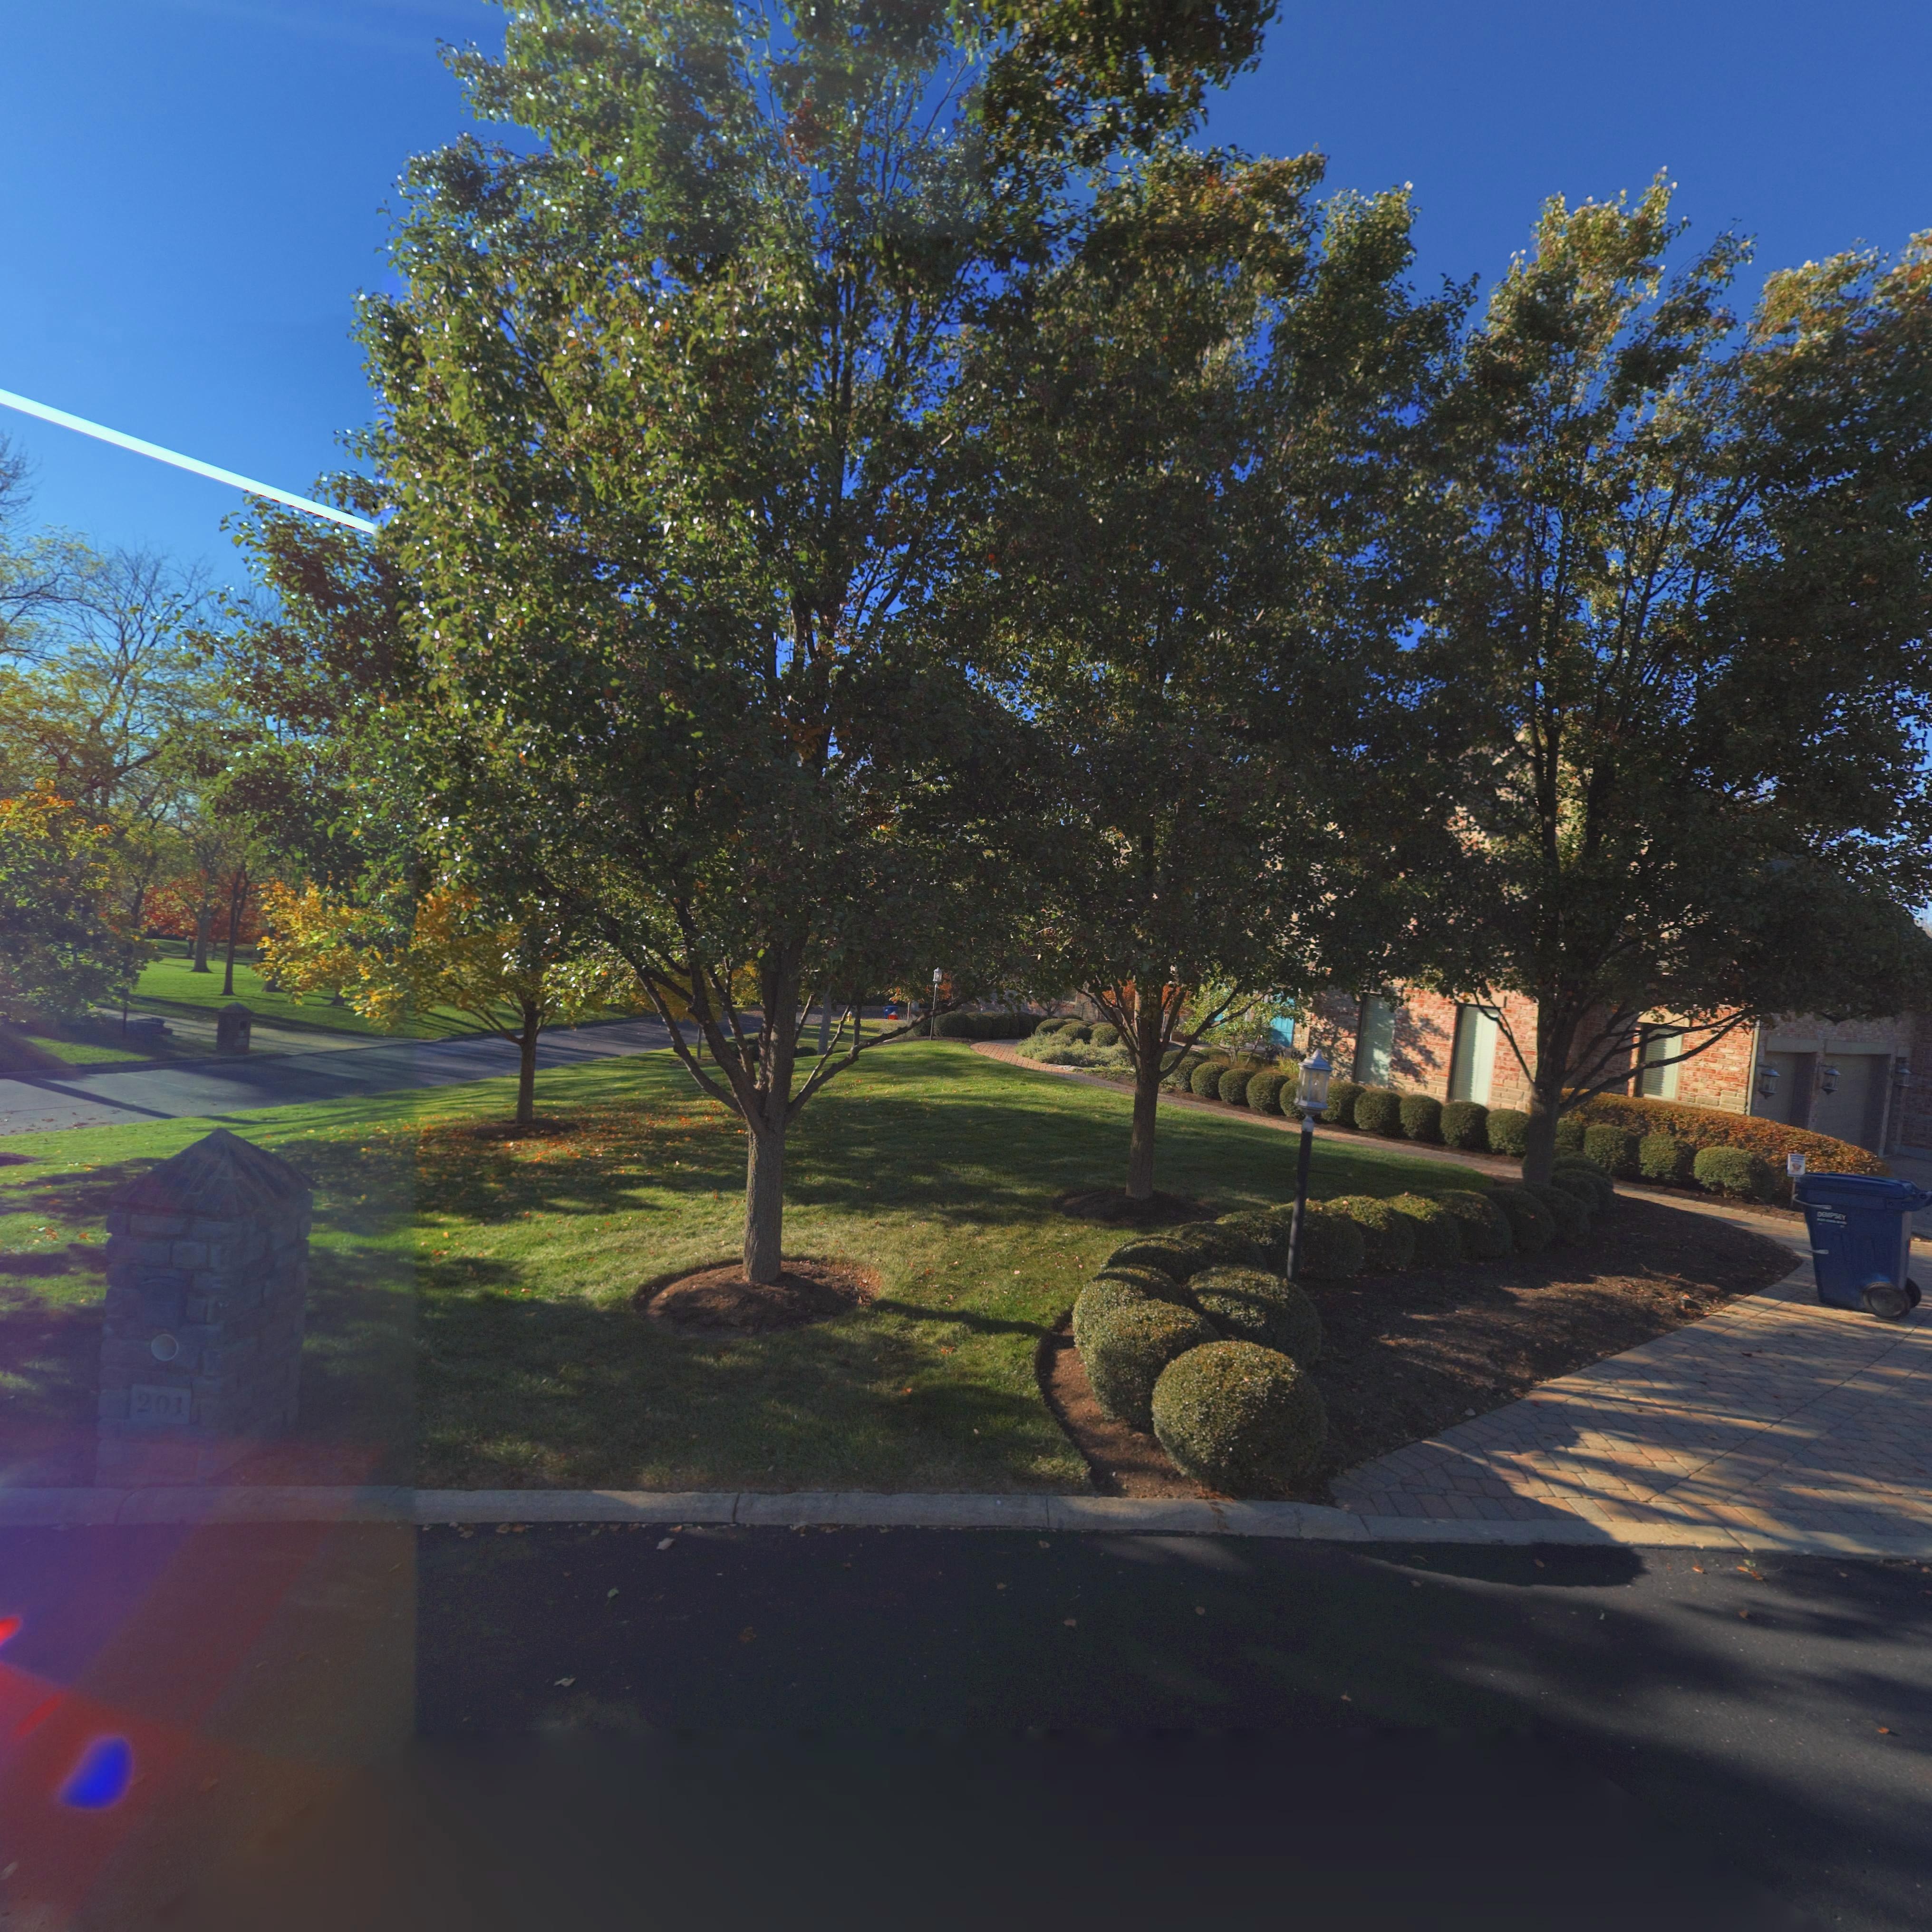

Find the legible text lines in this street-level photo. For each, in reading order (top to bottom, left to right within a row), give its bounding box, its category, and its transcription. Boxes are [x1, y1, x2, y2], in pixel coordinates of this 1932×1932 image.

[135, 1391, 184, 1416] StreetNumber: 201